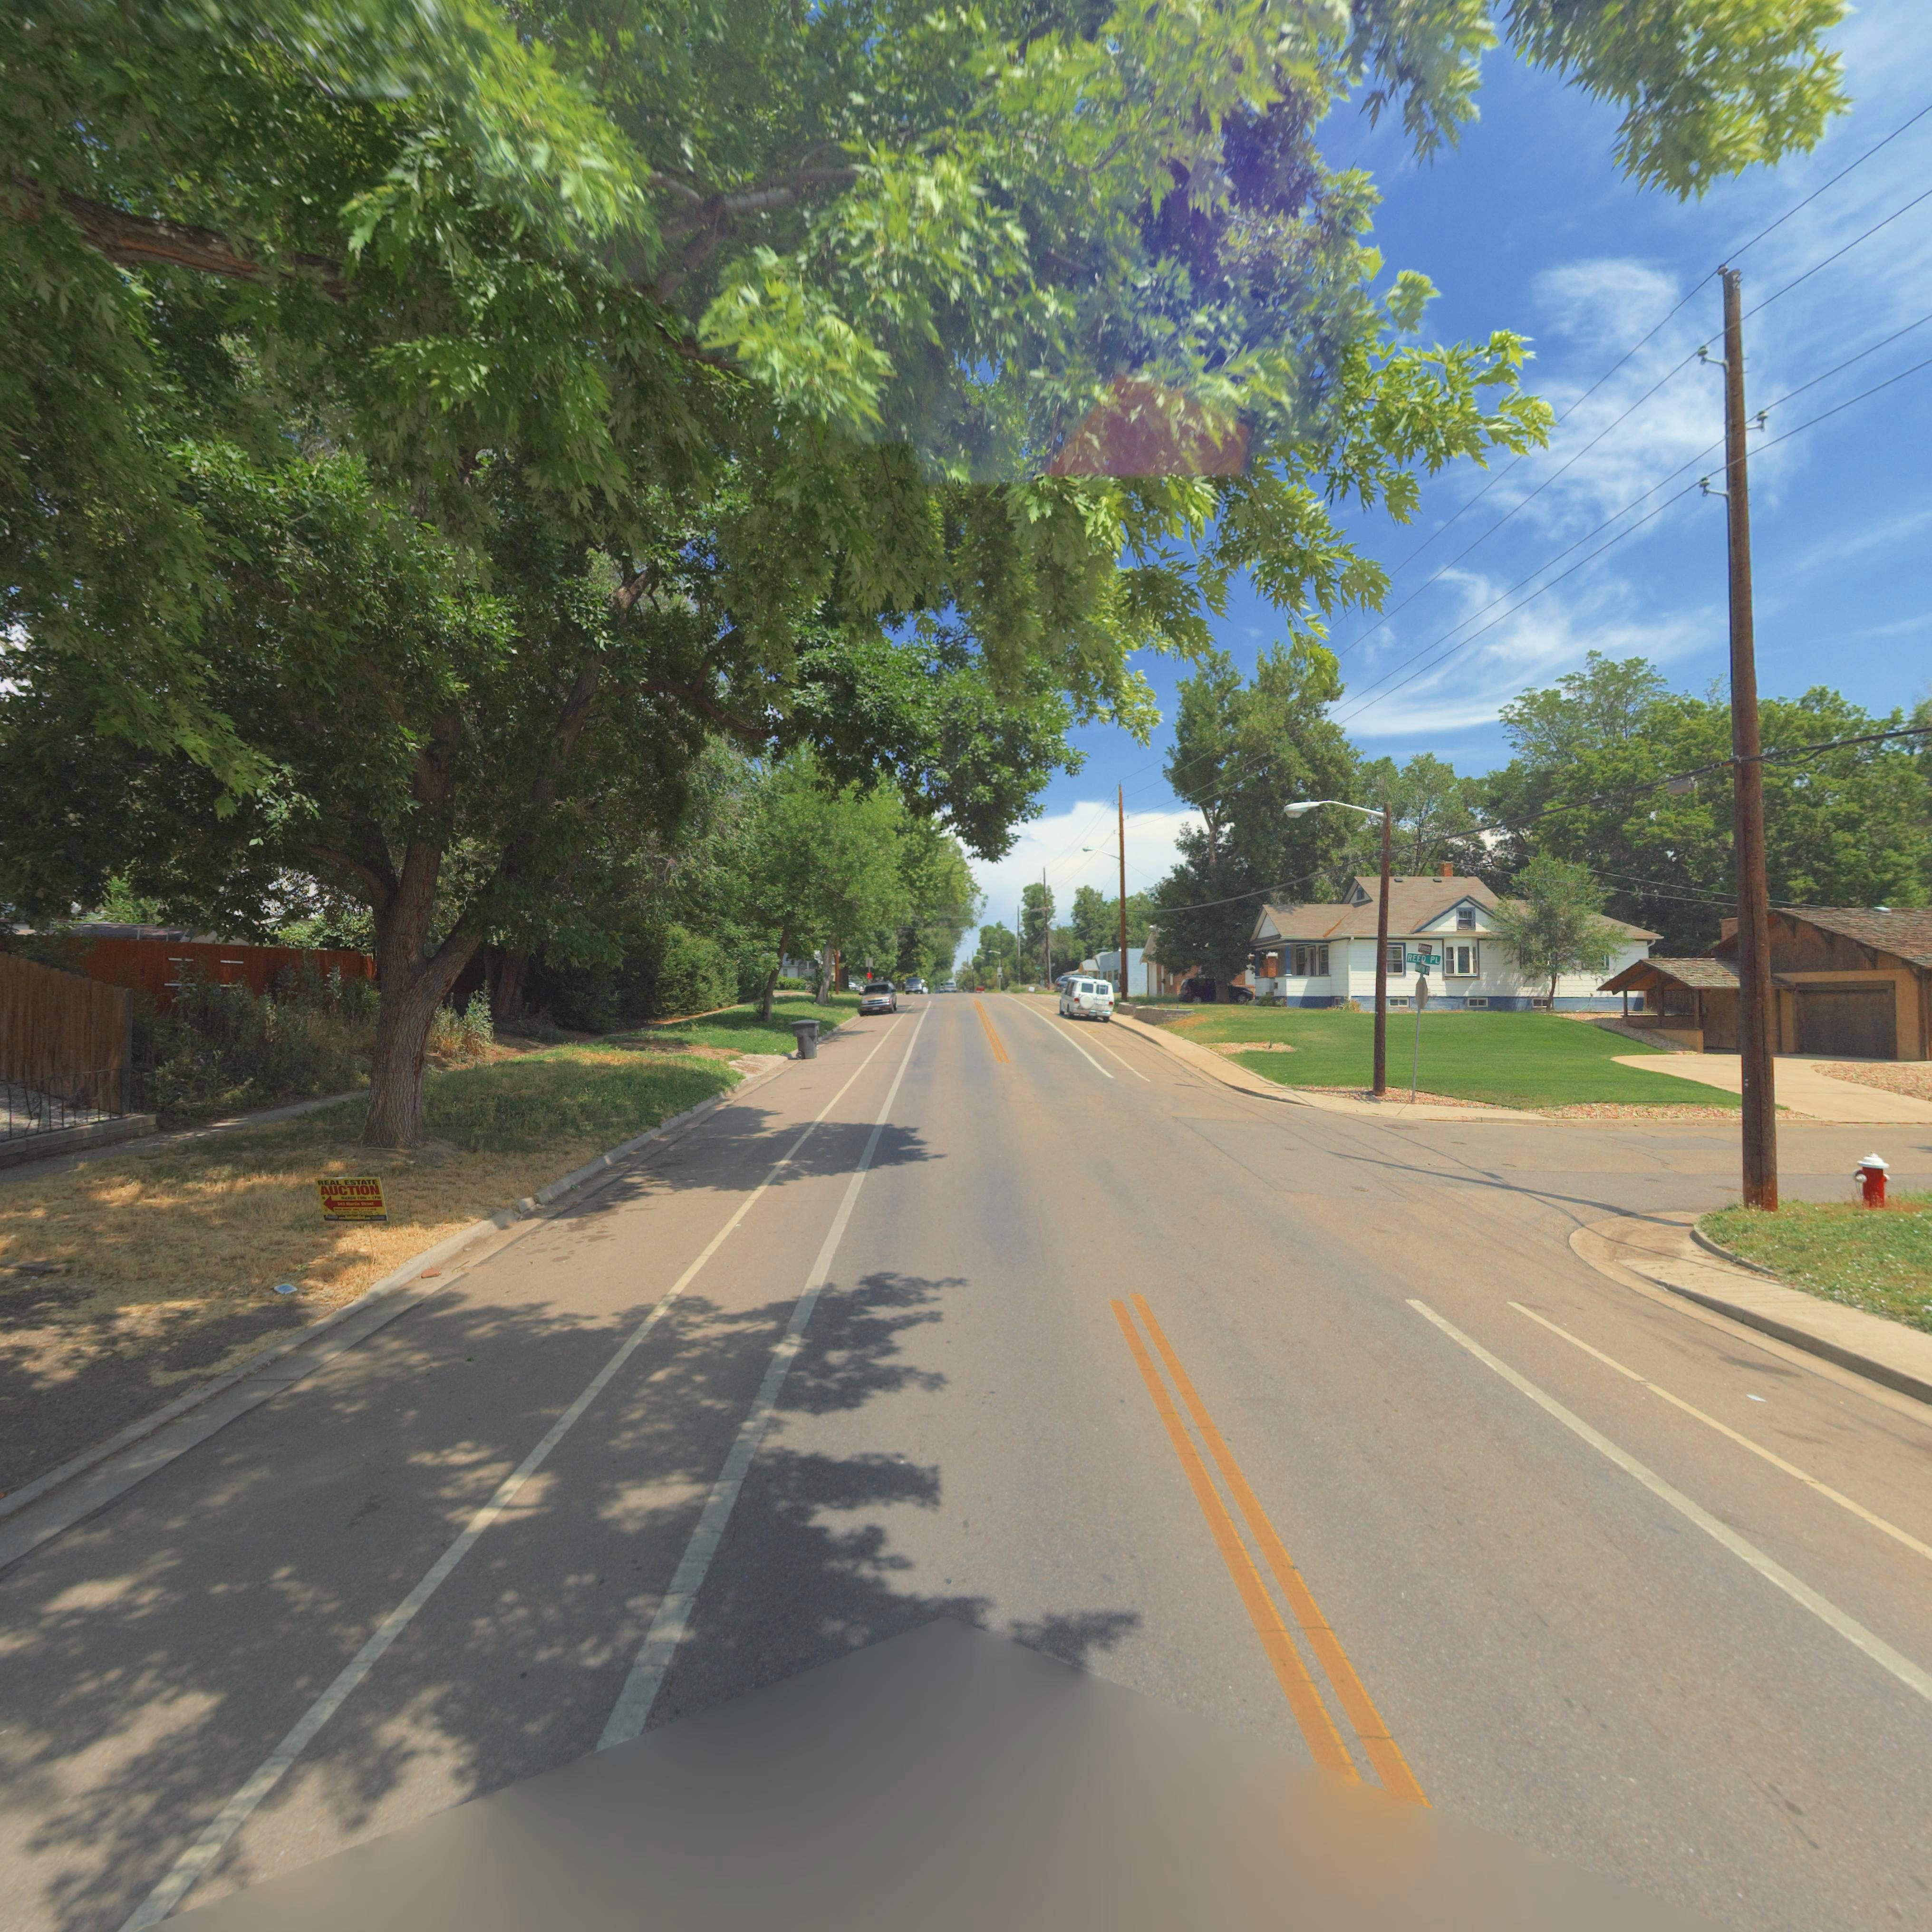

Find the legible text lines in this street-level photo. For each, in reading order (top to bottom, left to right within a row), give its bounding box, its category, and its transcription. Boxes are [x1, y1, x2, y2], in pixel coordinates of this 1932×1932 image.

[1407, 954, 1439, 964] StreetName: REED PL
[1415, 963, 1430, 975] BusinessName: *APA* S*